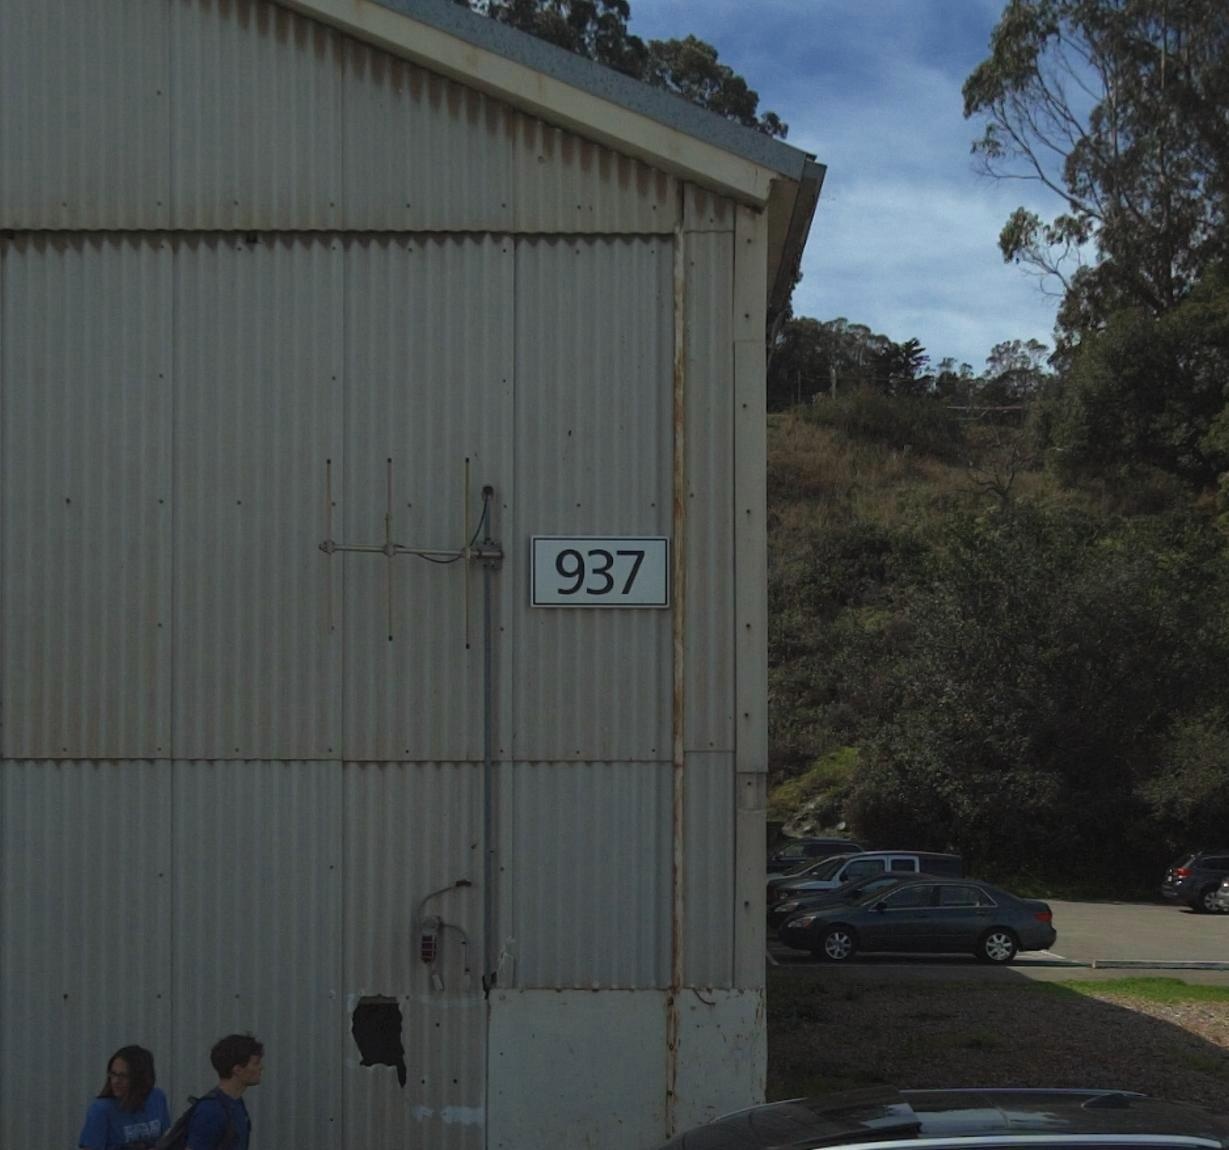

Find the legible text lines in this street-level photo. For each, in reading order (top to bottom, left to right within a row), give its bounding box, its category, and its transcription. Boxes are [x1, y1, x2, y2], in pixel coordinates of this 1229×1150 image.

[551, 547, 648, 597] StreetNumber: 937